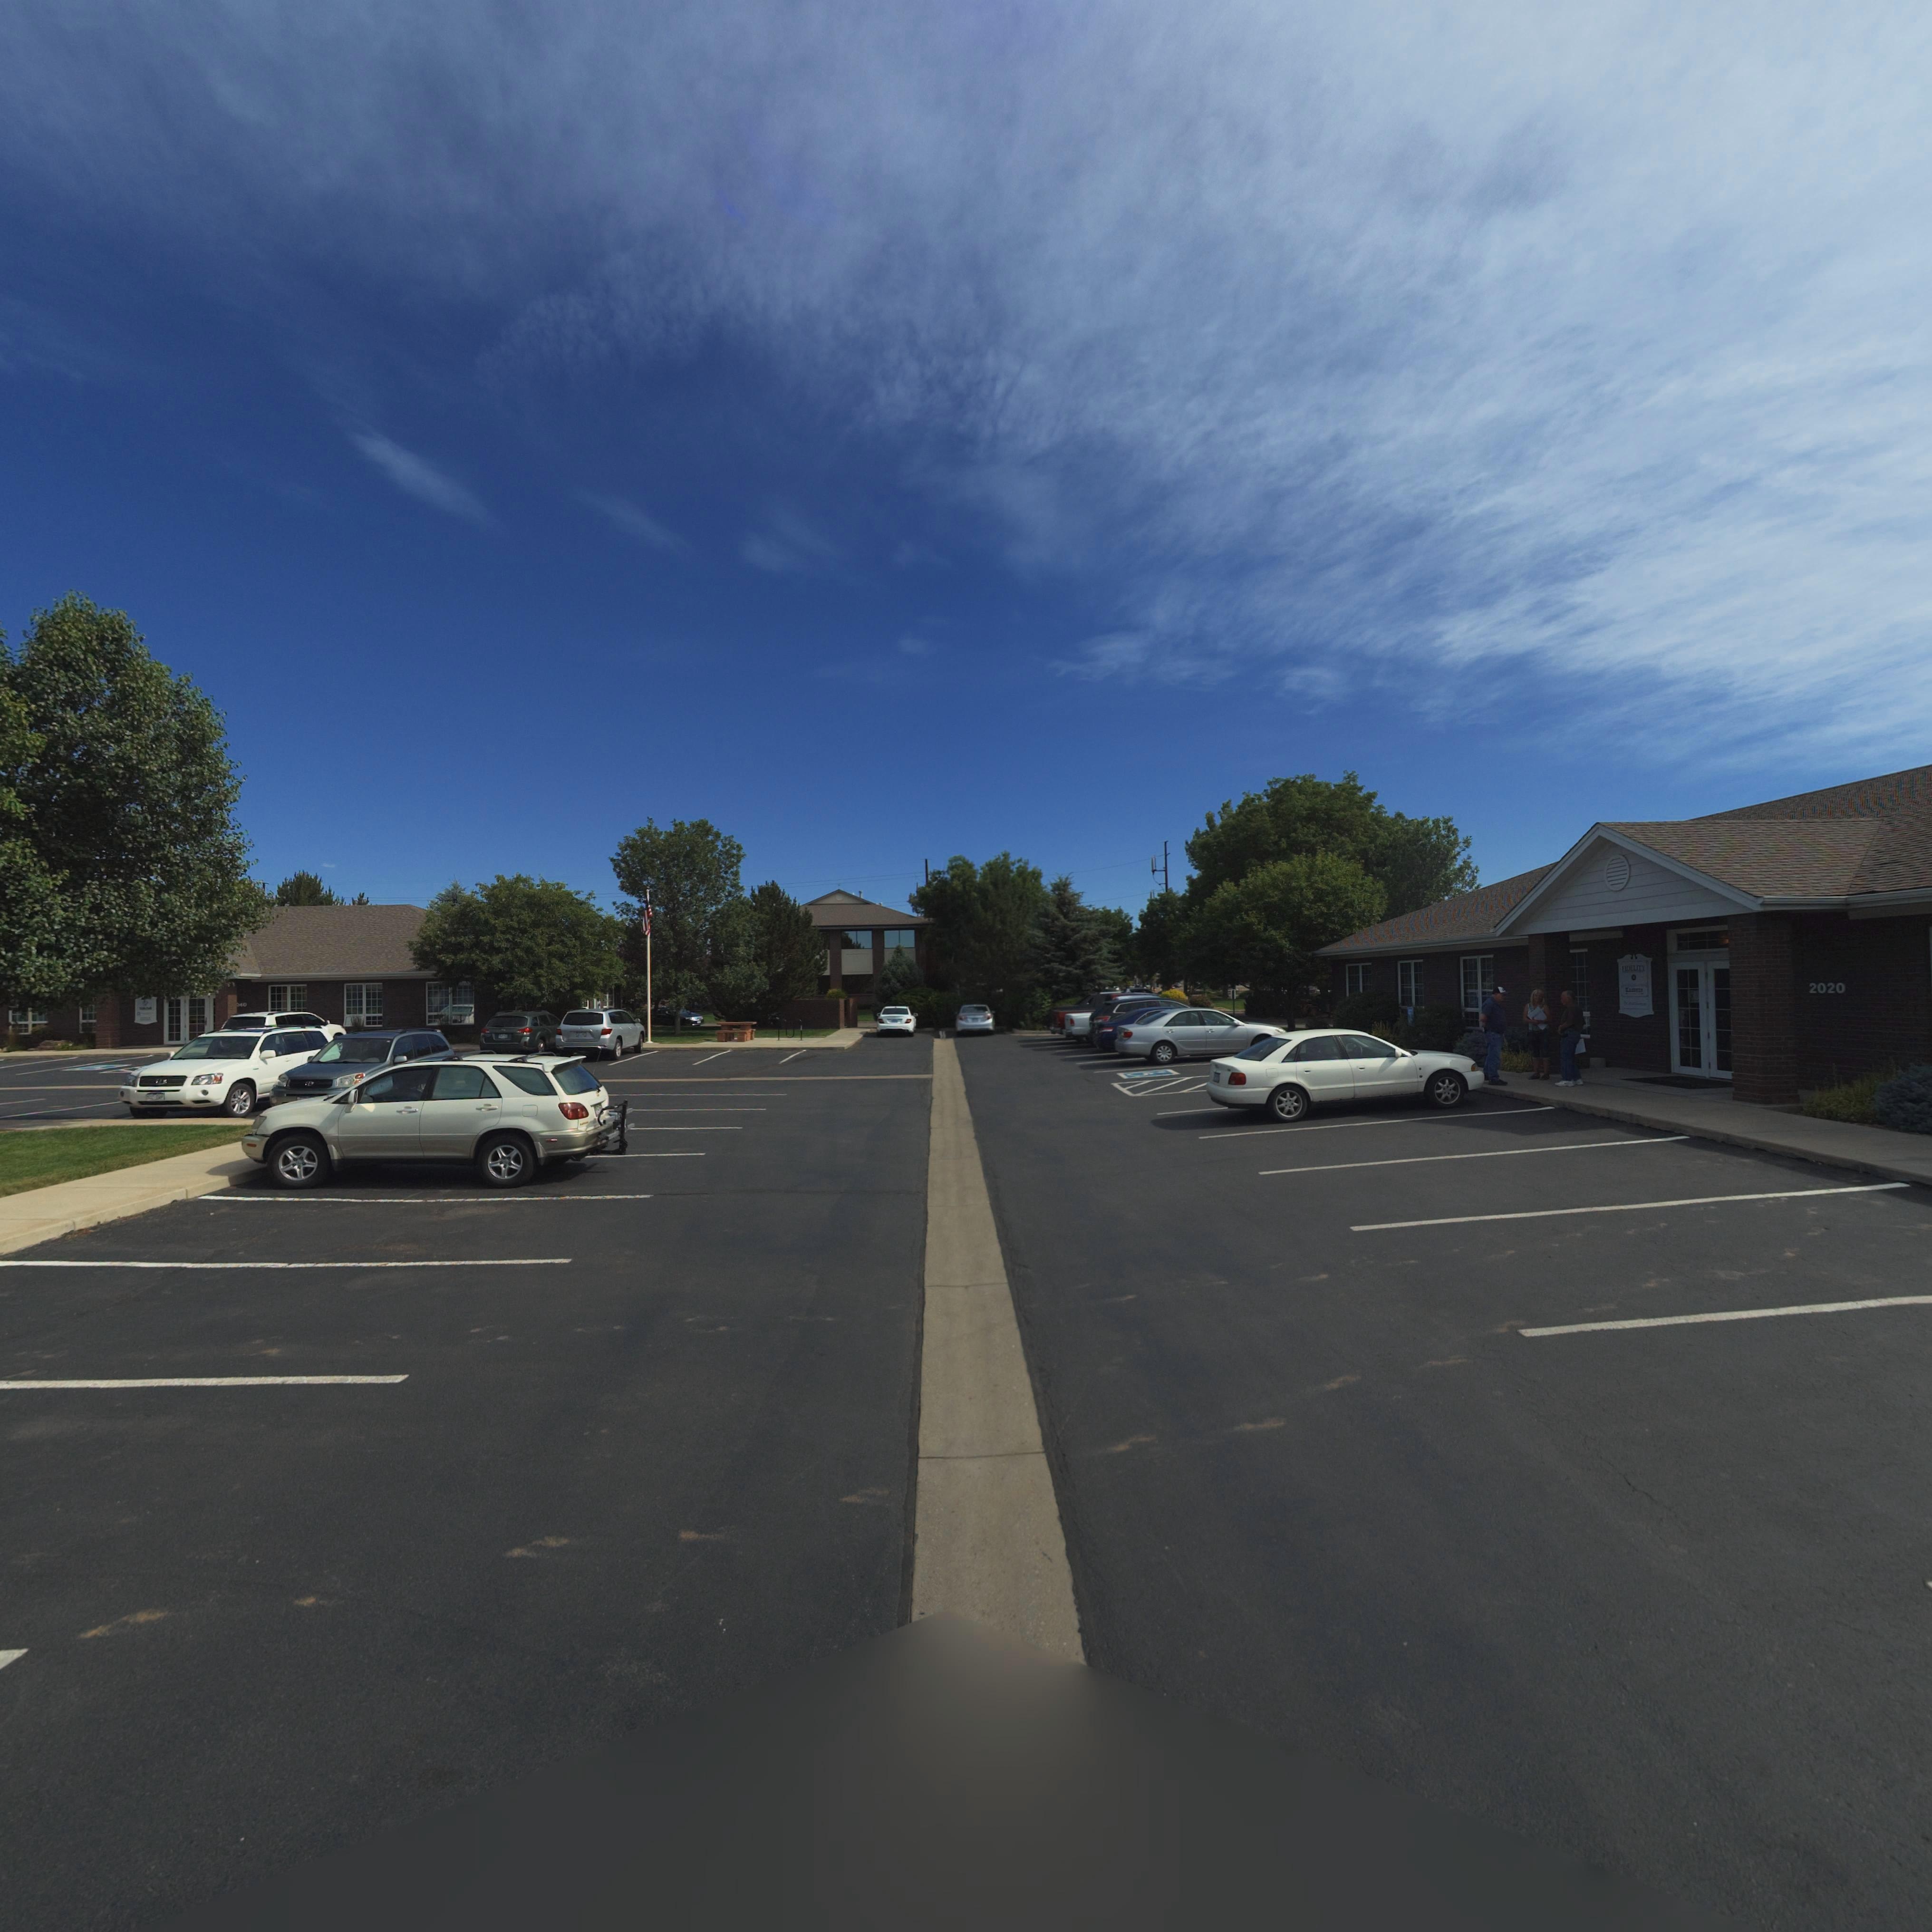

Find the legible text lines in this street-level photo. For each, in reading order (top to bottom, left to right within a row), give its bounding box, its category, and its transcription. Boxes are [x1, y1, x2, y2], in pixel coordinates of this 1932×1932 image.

[1621, 964, 1645, 972] BusinessName: FIDELITY
[1807, 982, 1845, 994] StreetNumber: 2020
[236, 1002, 247, 1007] StreetNumber: 040